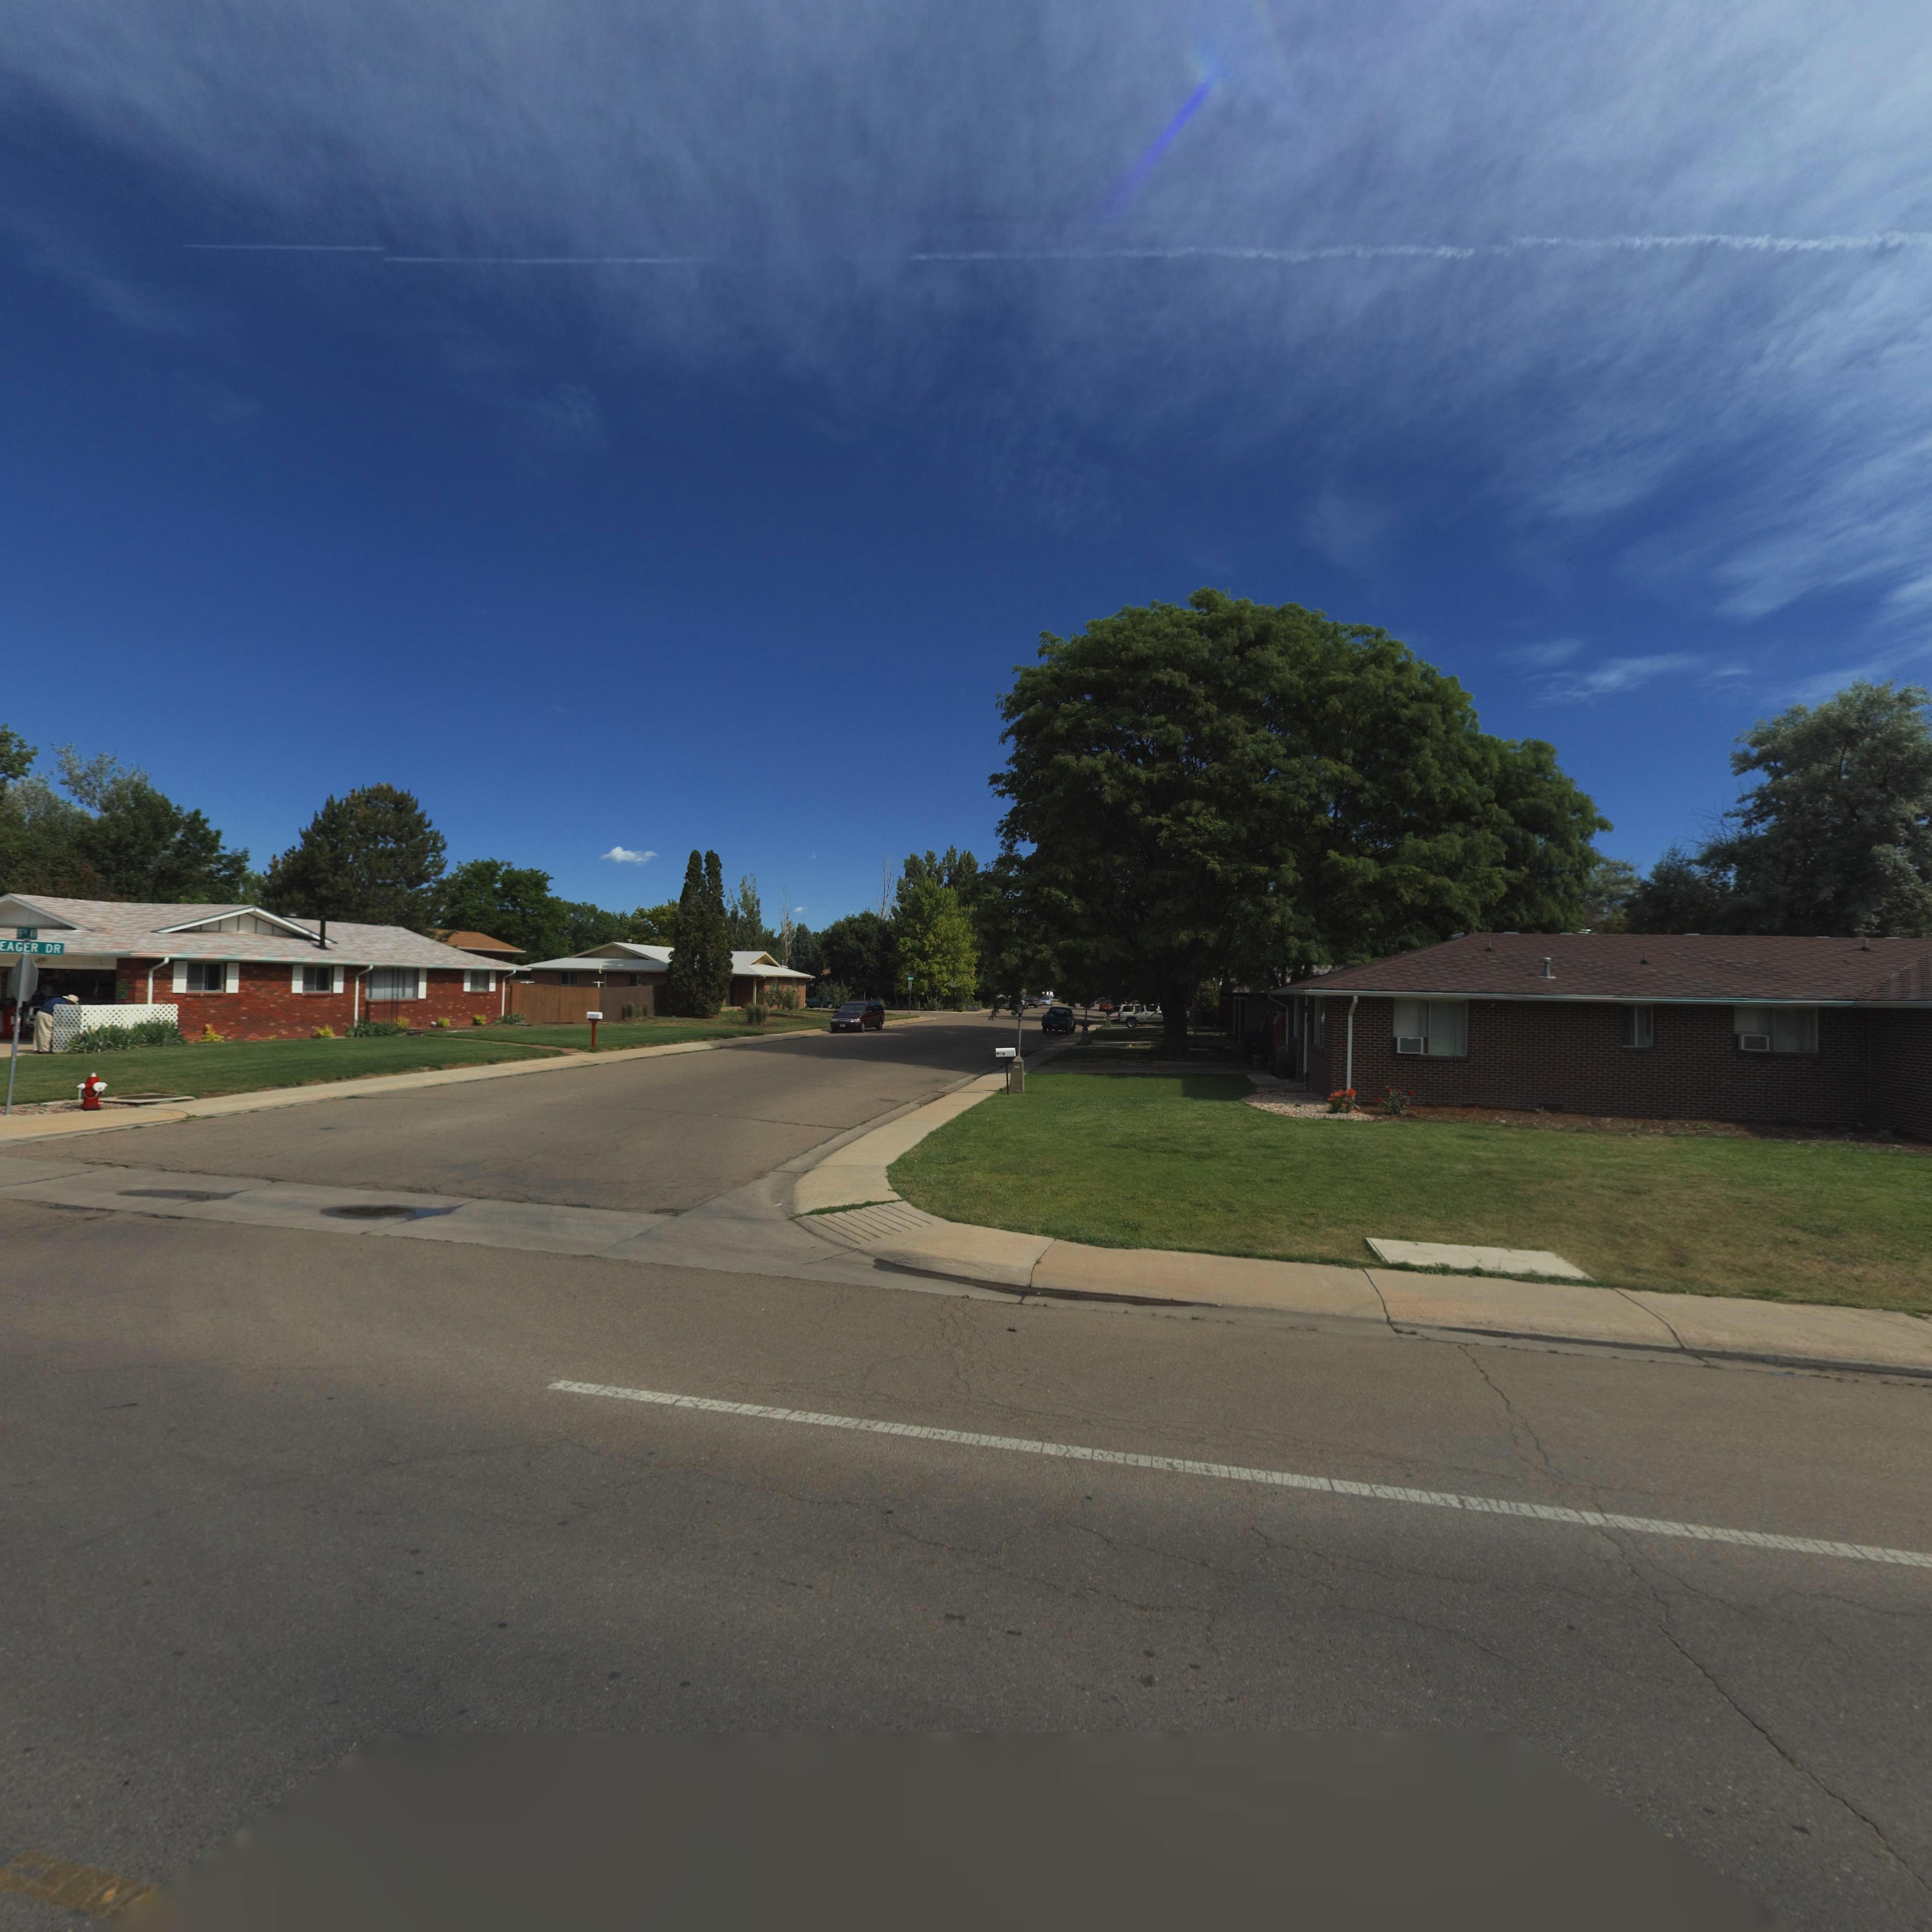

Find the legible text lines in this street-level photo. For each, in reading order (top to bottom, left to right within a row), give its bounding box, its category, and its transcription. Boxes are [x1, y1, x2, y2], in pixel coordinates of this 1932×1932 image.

[17, 928, 38, 938] StreetName: 5** AV
[0, 941, 61, 954] StreetName: EAGER DR